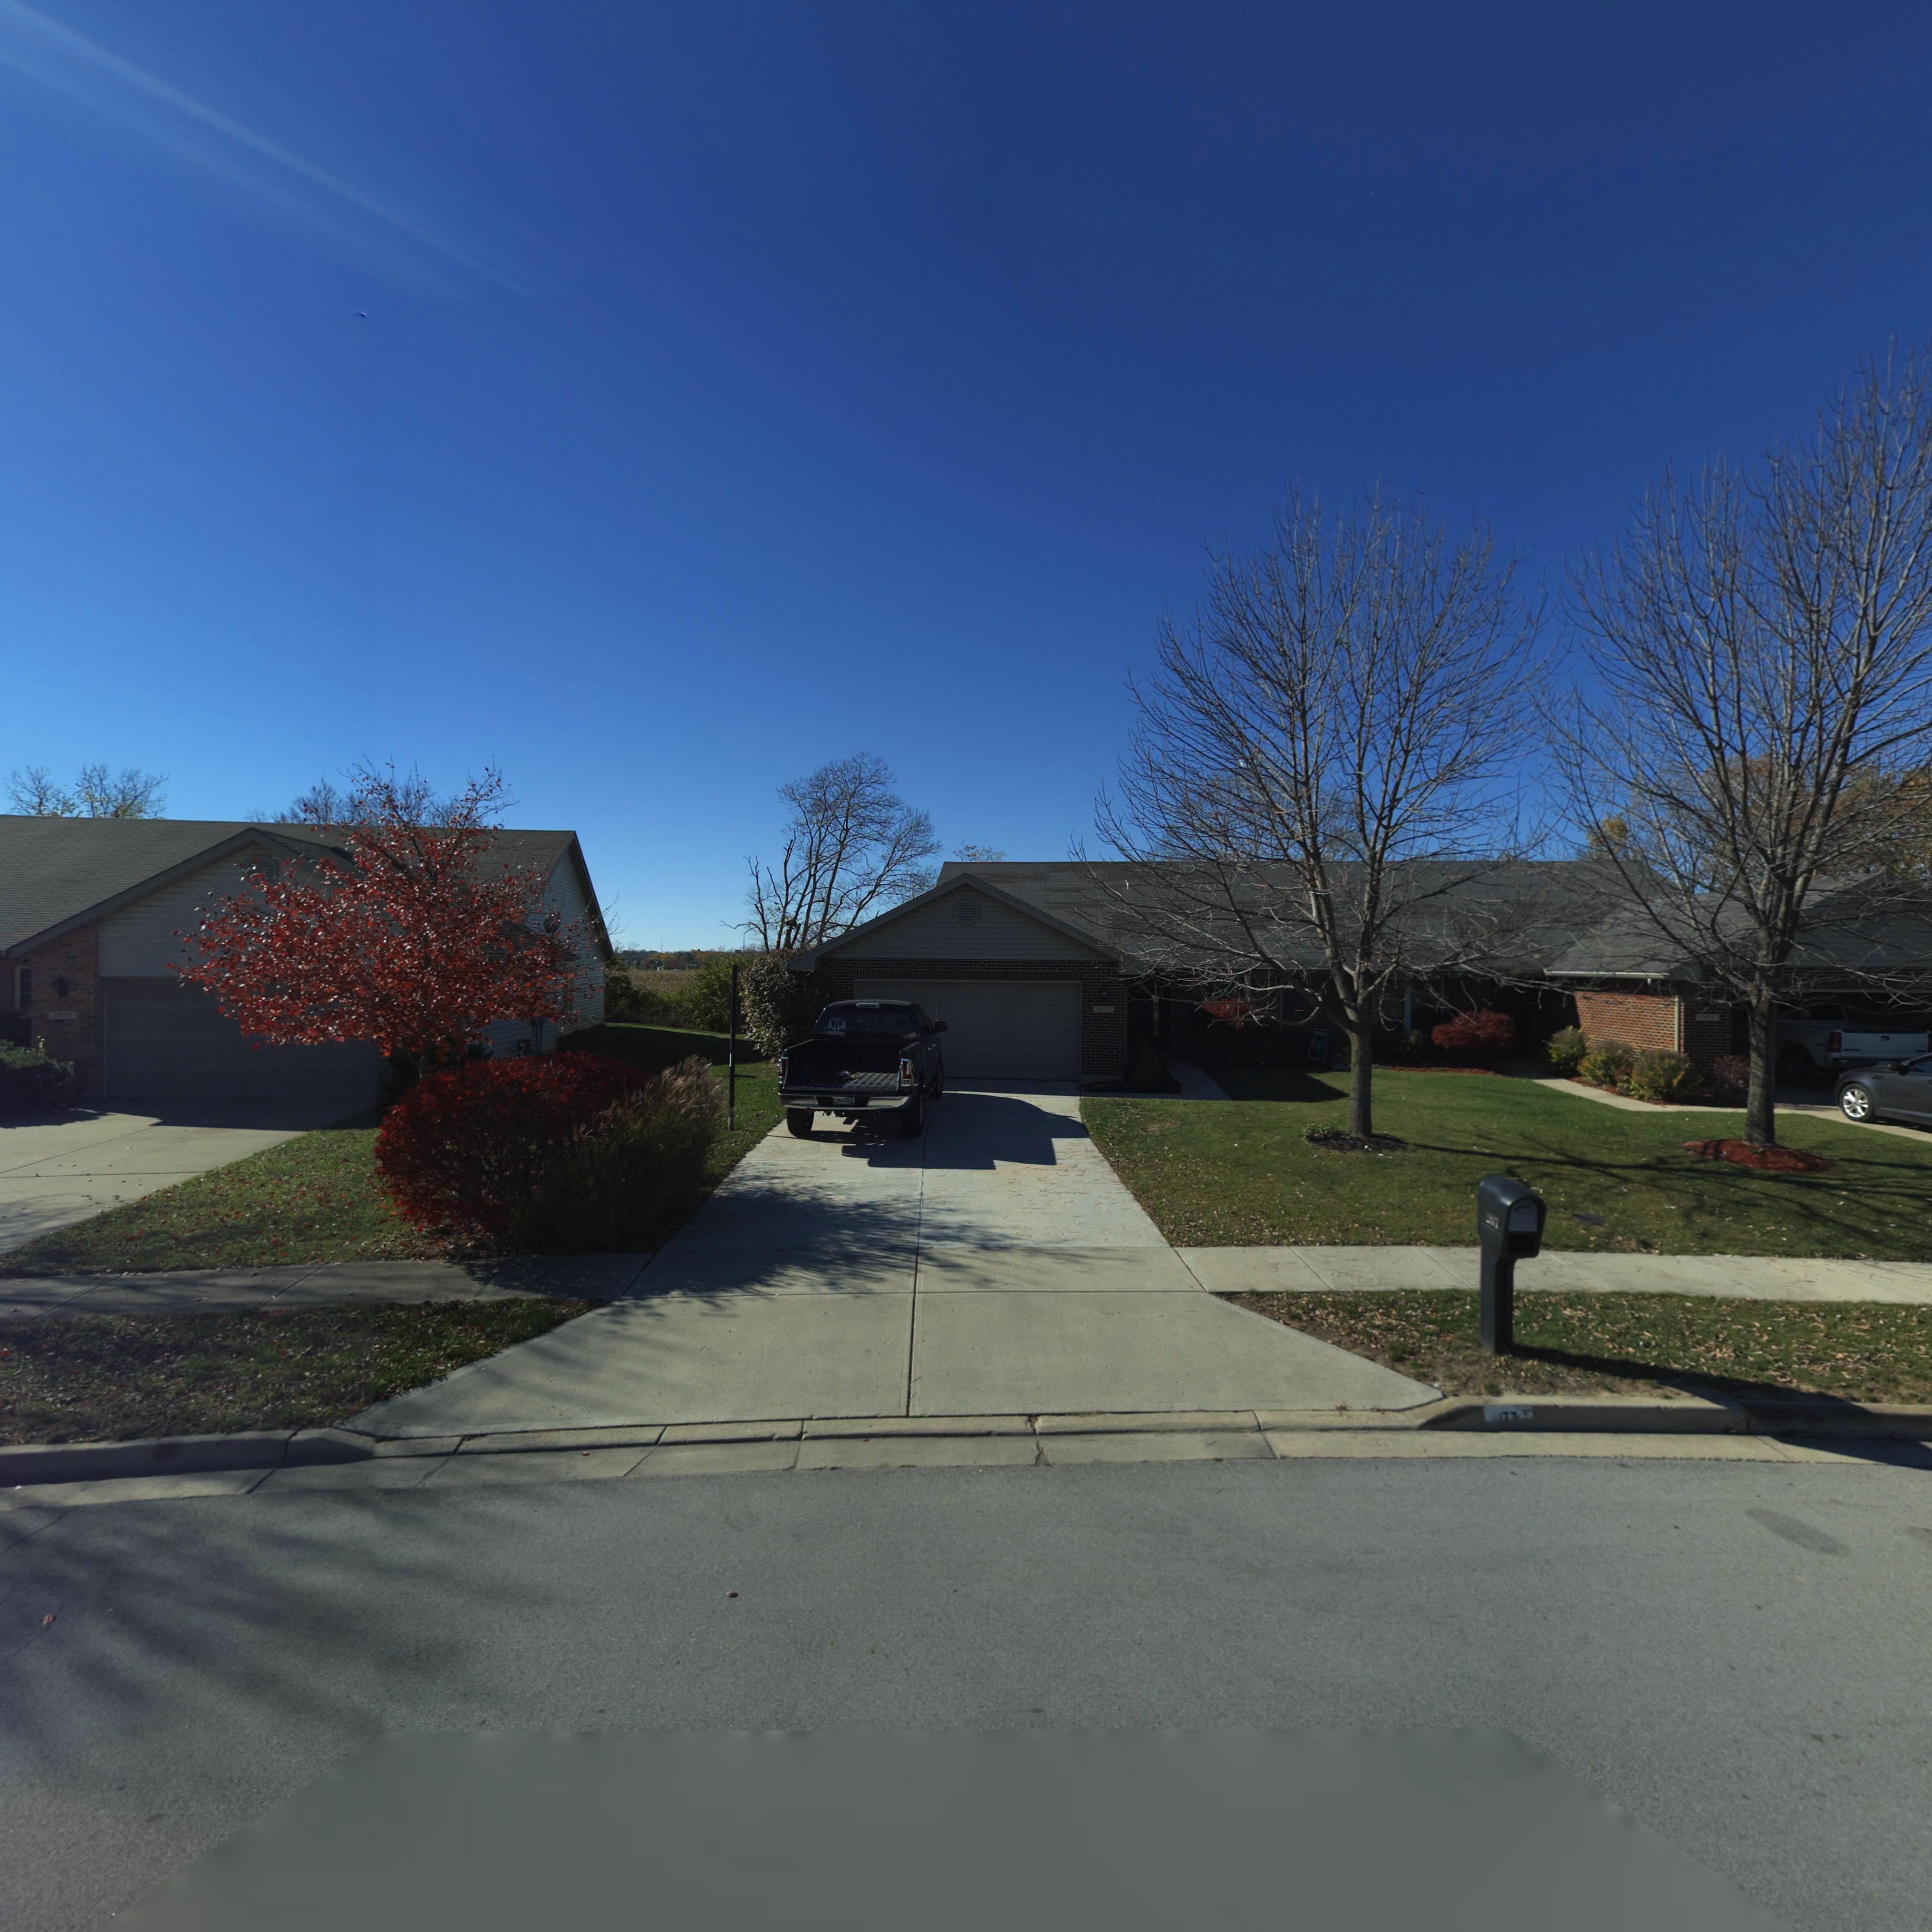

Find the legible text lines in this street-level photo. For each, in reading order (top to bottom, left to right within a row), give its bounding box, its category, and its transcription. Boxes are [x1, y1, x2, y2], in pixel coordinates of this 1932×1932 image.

[1097, 1006, 1111, 1013] StreetNumber: 1977
[54, 1011, 73, 1019] StreetNumber: 1*7*
[1494, 1216, 1500, 1231] StreetNumber: 7